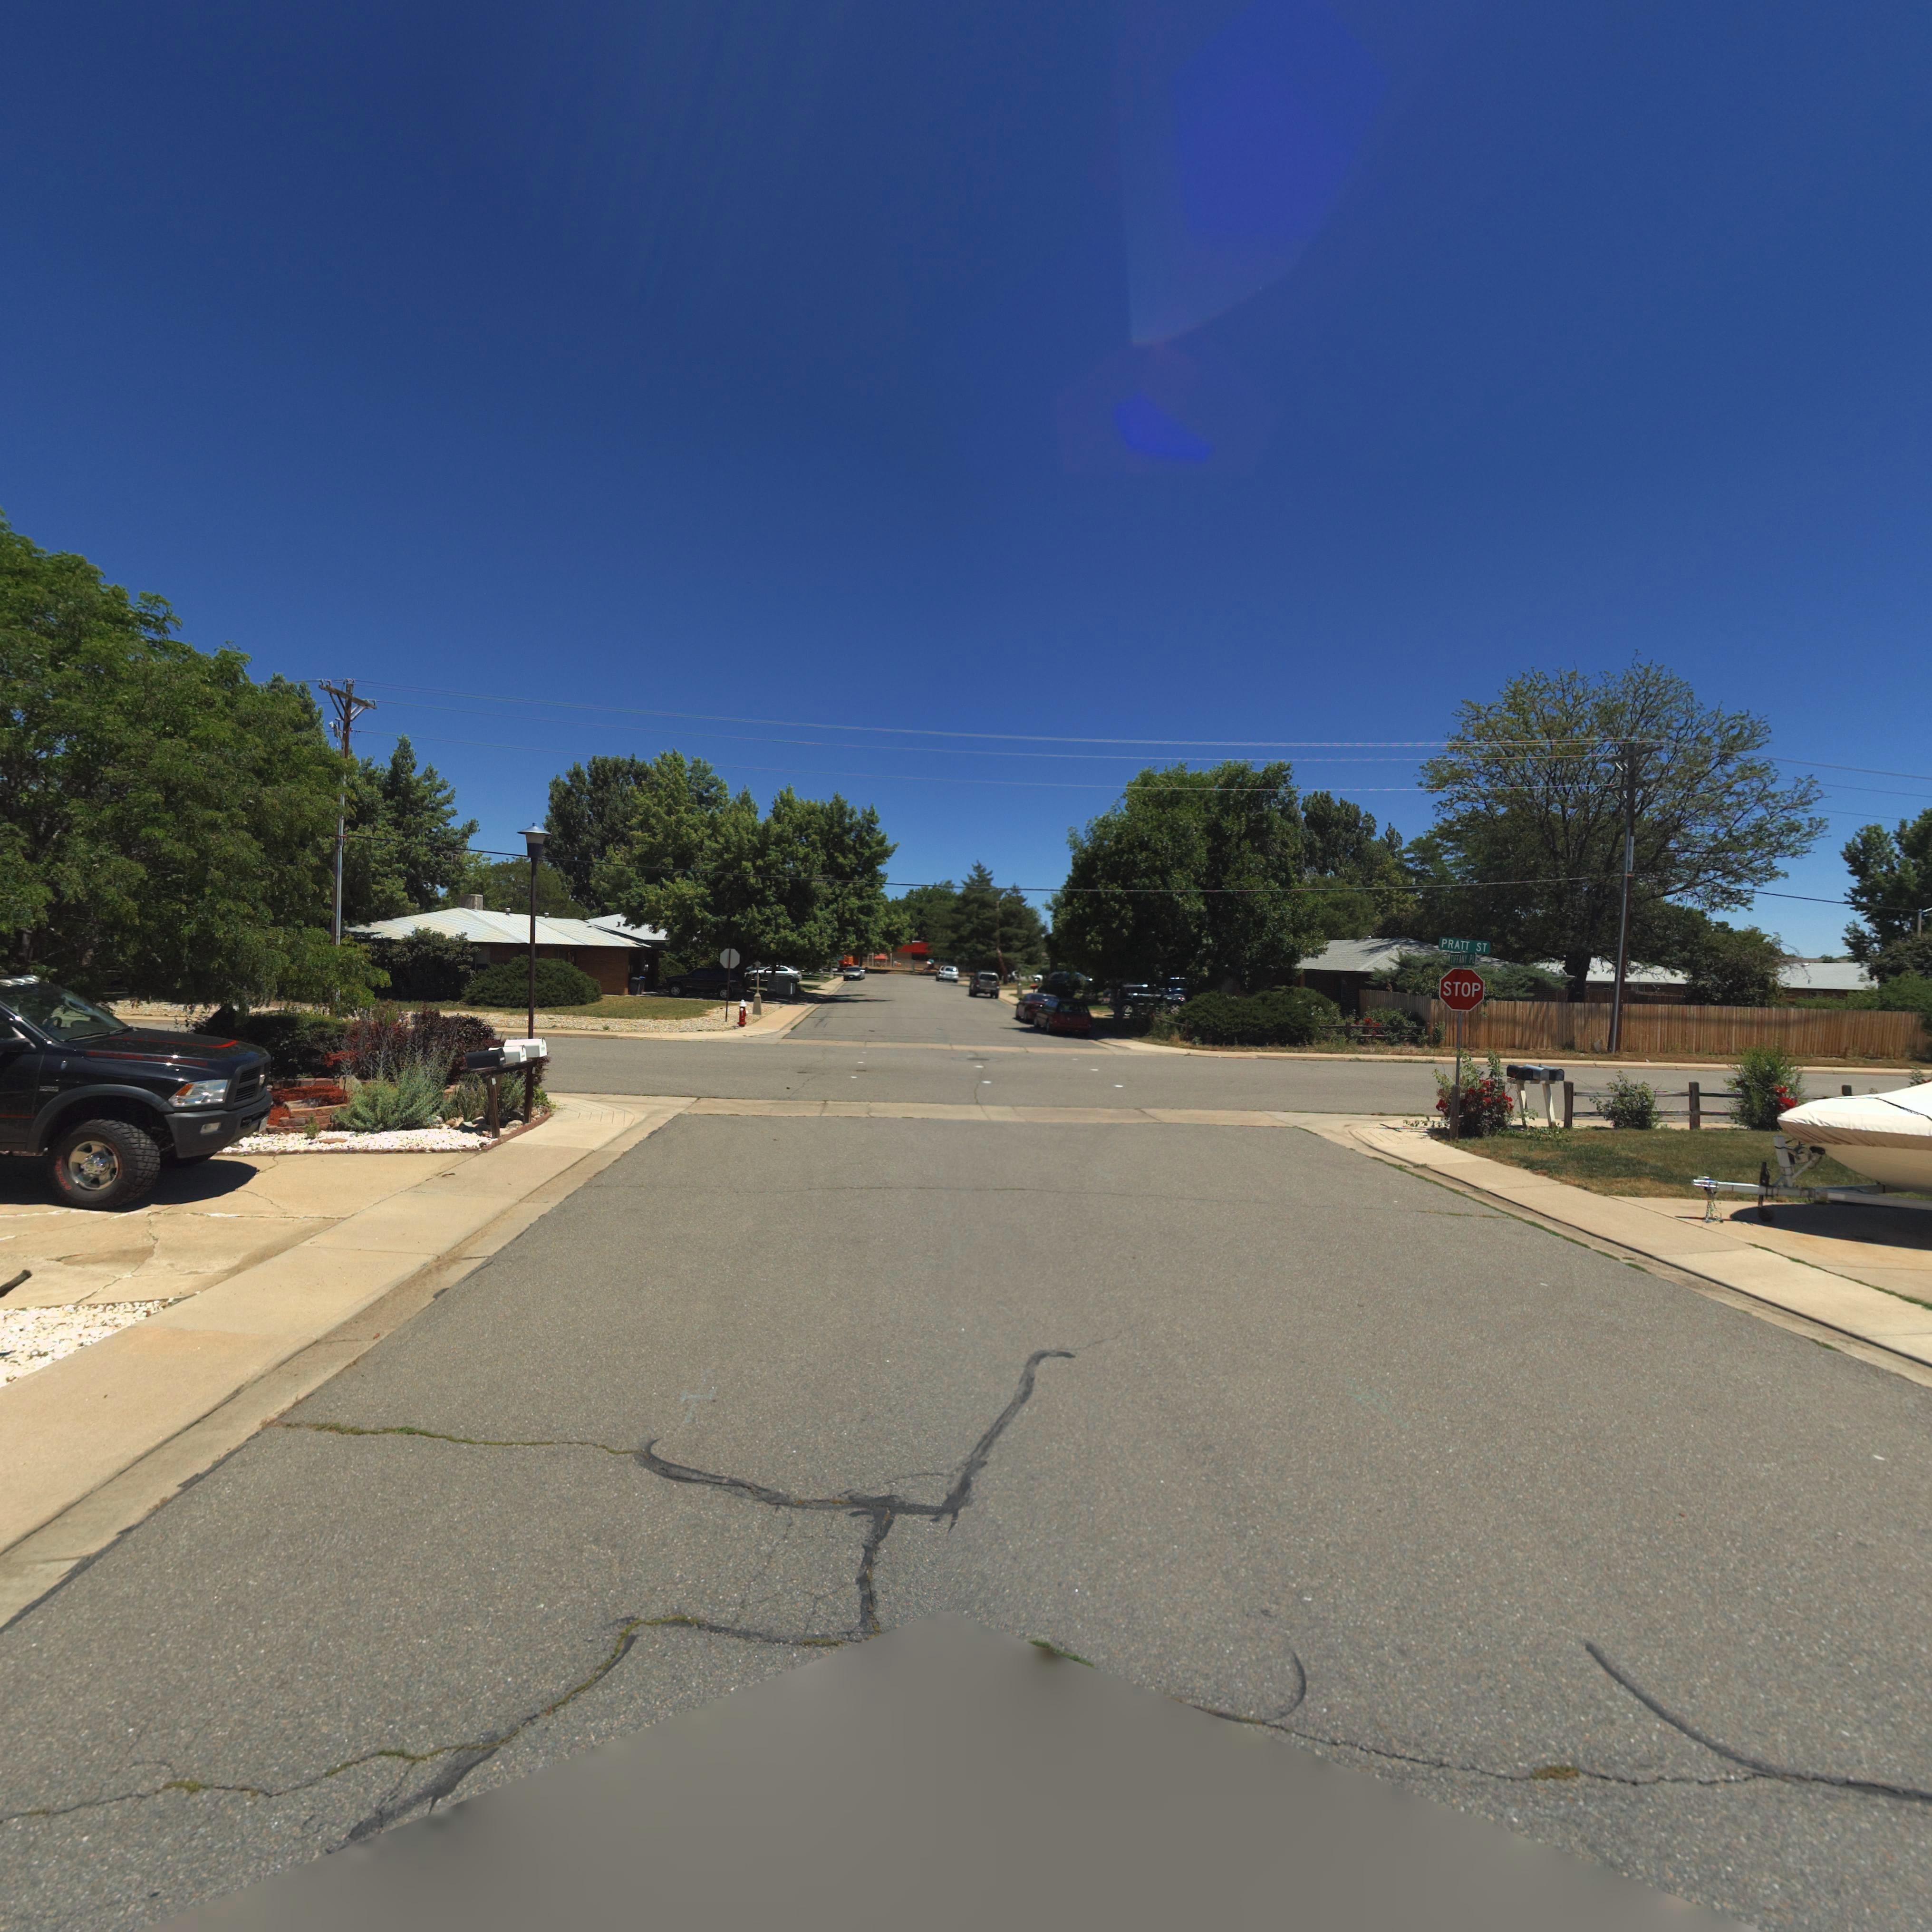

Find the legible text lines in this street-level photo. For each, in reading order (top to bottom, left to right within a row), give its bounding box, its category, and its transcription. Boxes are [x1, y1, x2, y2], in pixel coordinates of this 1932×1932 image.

[1441, 938, 1488, 952] StreetName: PRATT ST
[1450, 954, 1475, 964] StreetName: TIFFANY PL